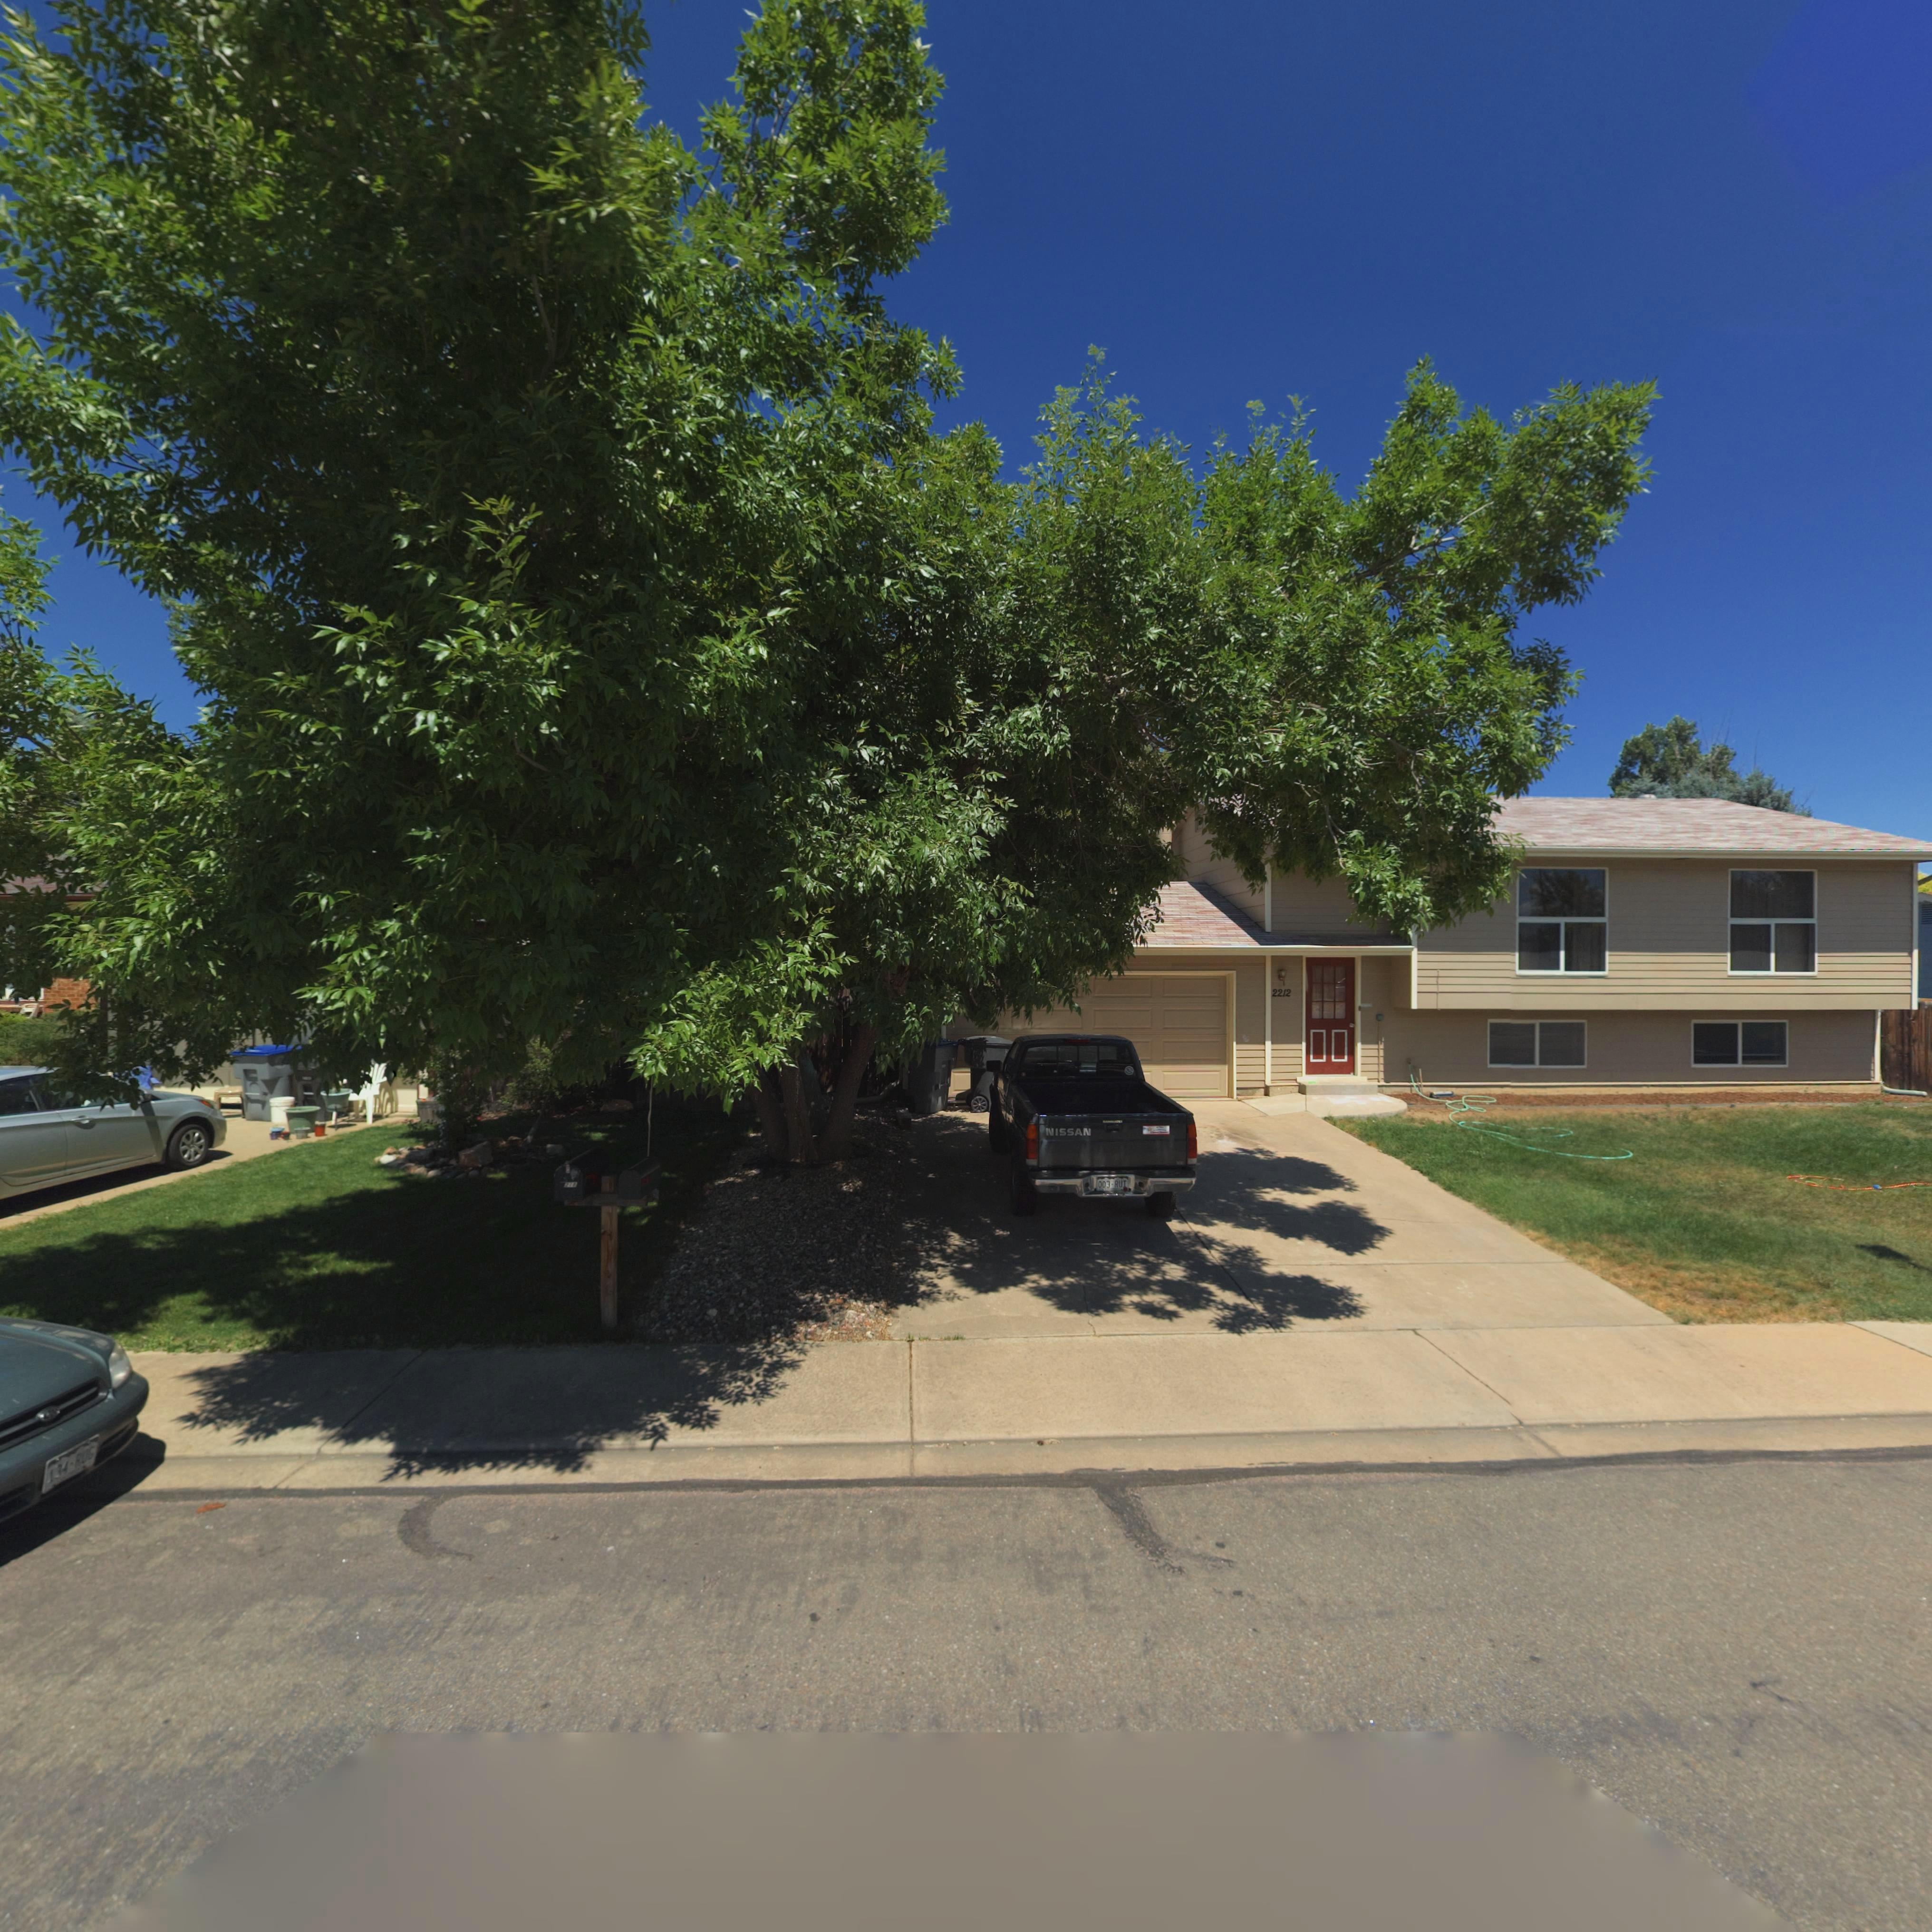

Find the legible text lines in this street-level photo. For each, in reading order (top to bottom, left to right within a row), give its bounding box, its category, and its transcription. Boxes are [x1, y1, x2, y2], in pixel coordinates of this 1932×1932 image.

[1271, 988, 1291, 996] StreetNumber: 2212
[564, 1181, 577, 1188] StreetNumber: 21*